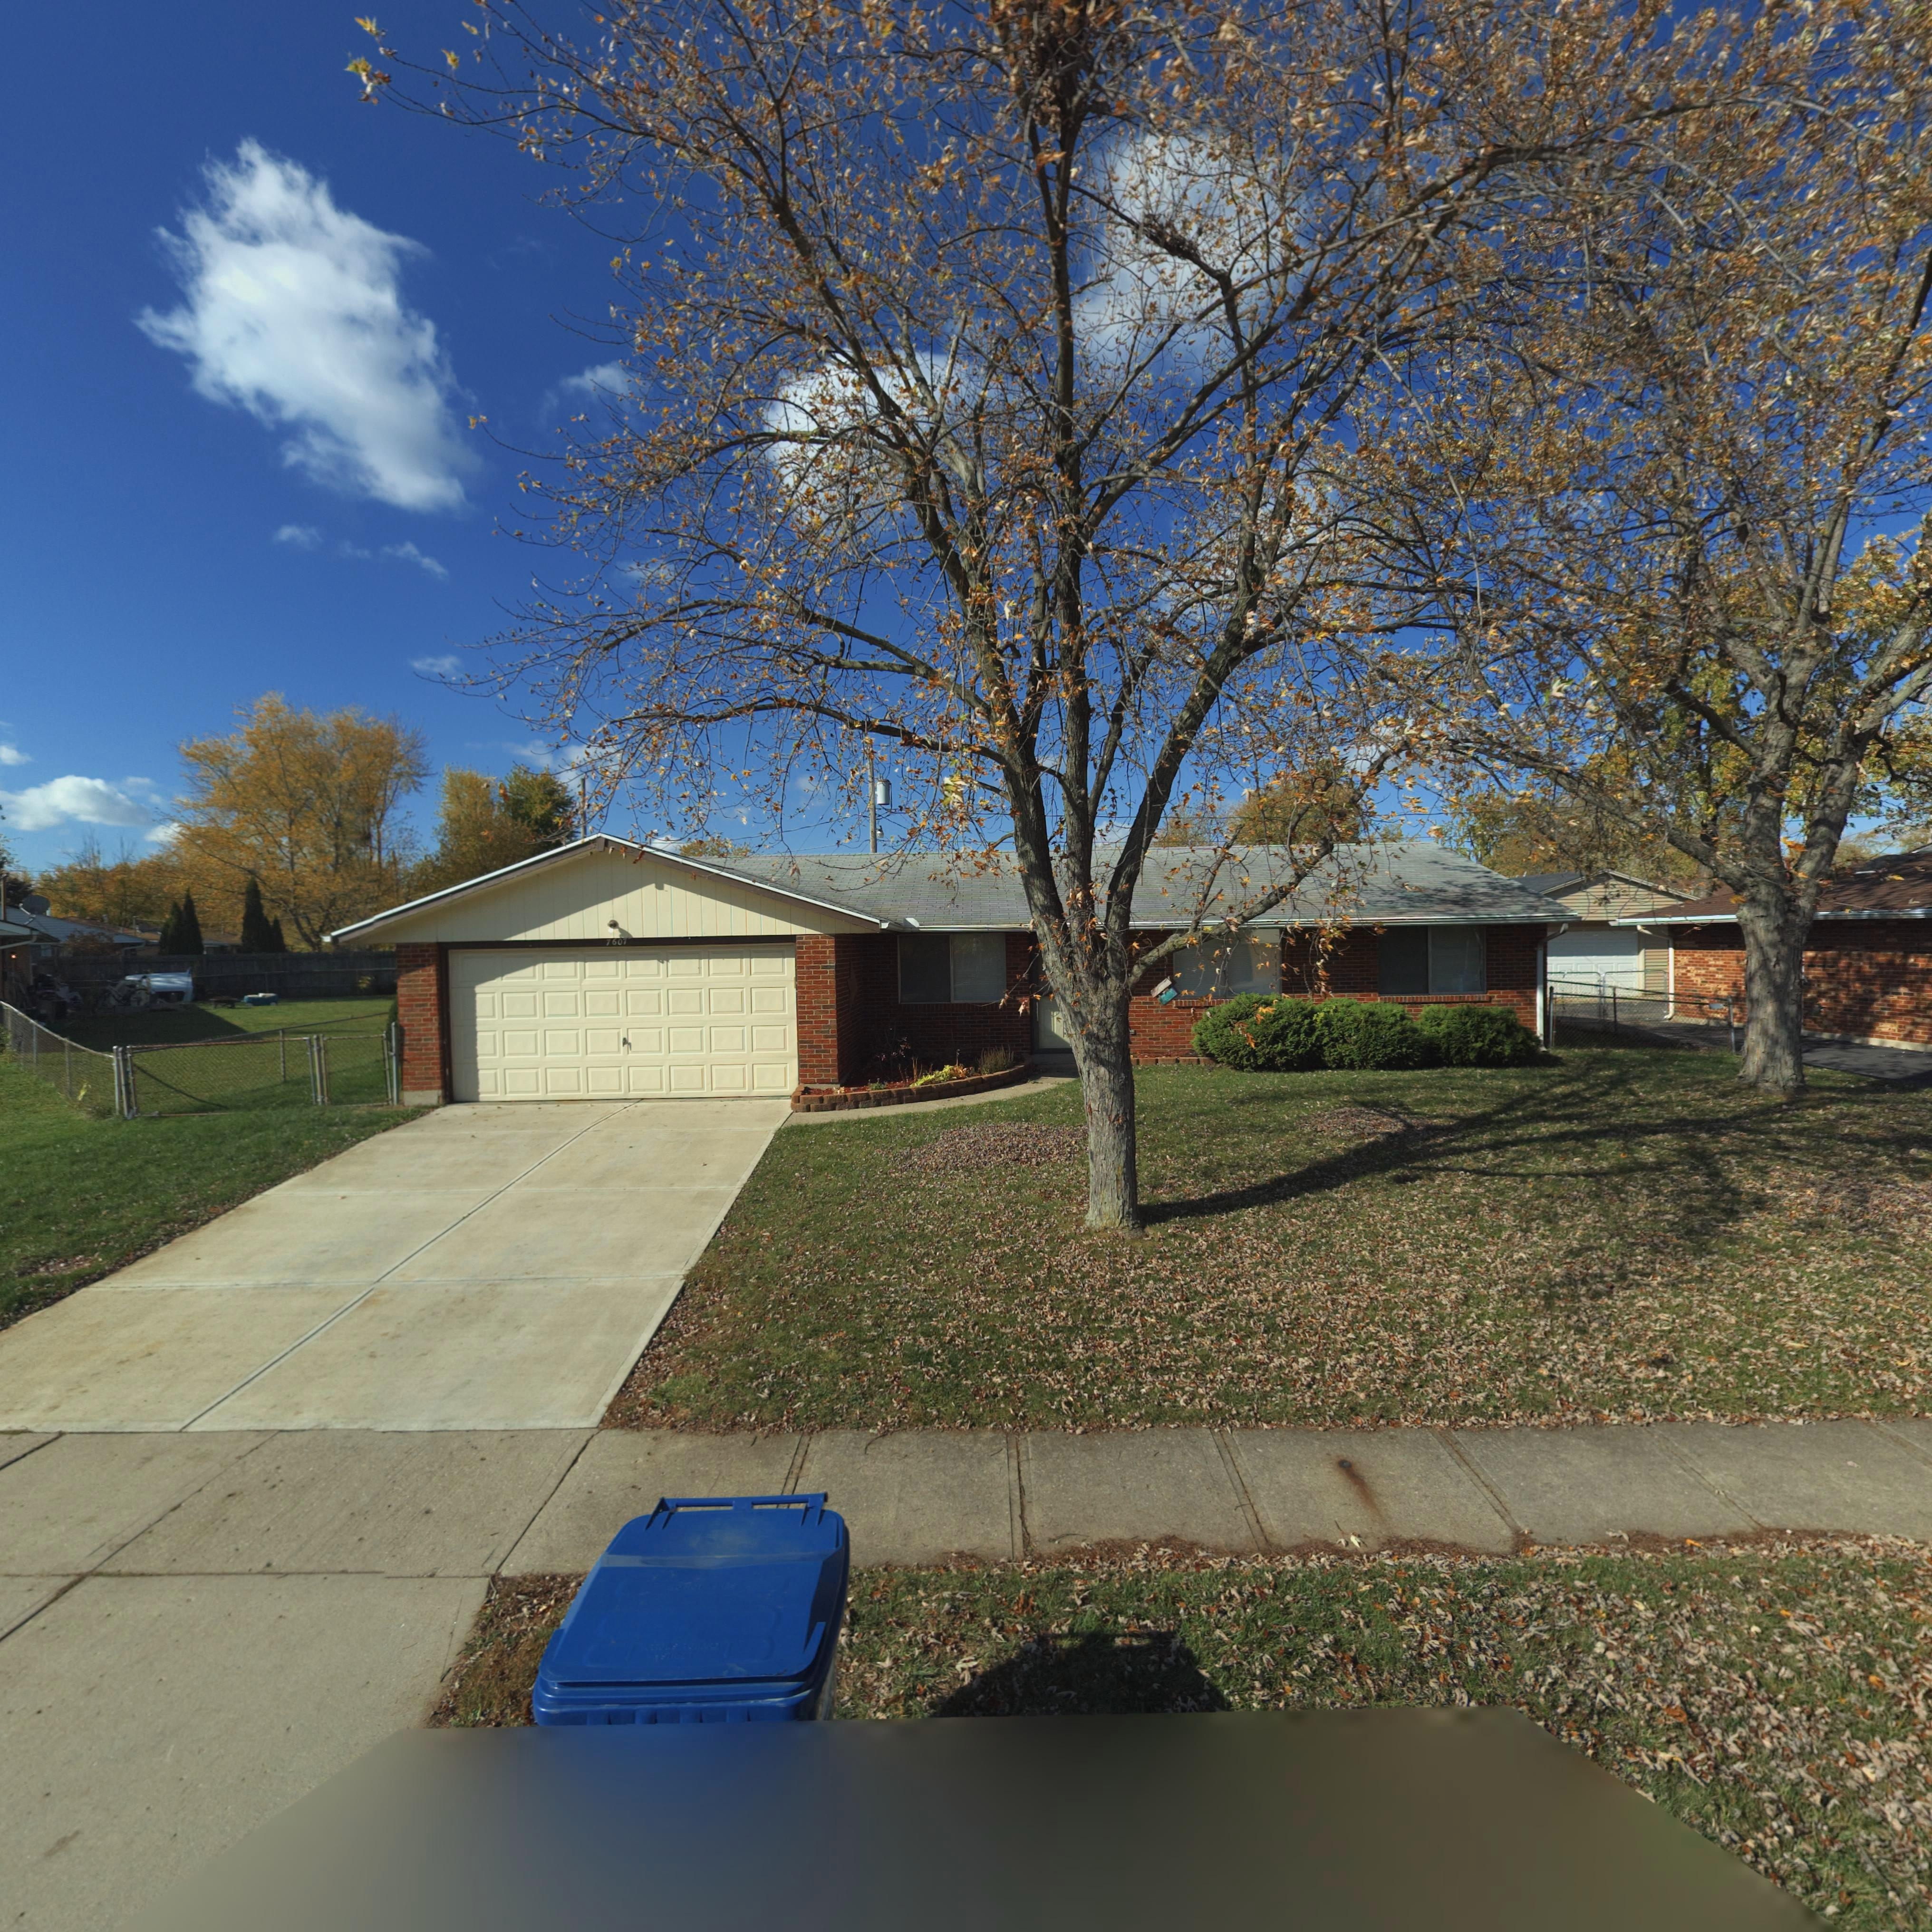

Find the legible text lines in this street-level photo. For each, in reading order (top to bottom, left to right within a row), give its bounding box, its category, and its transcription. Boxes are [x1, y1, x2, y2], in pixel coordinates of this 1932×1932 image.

[604, 937, 628, 947] StreetNumber: 760*